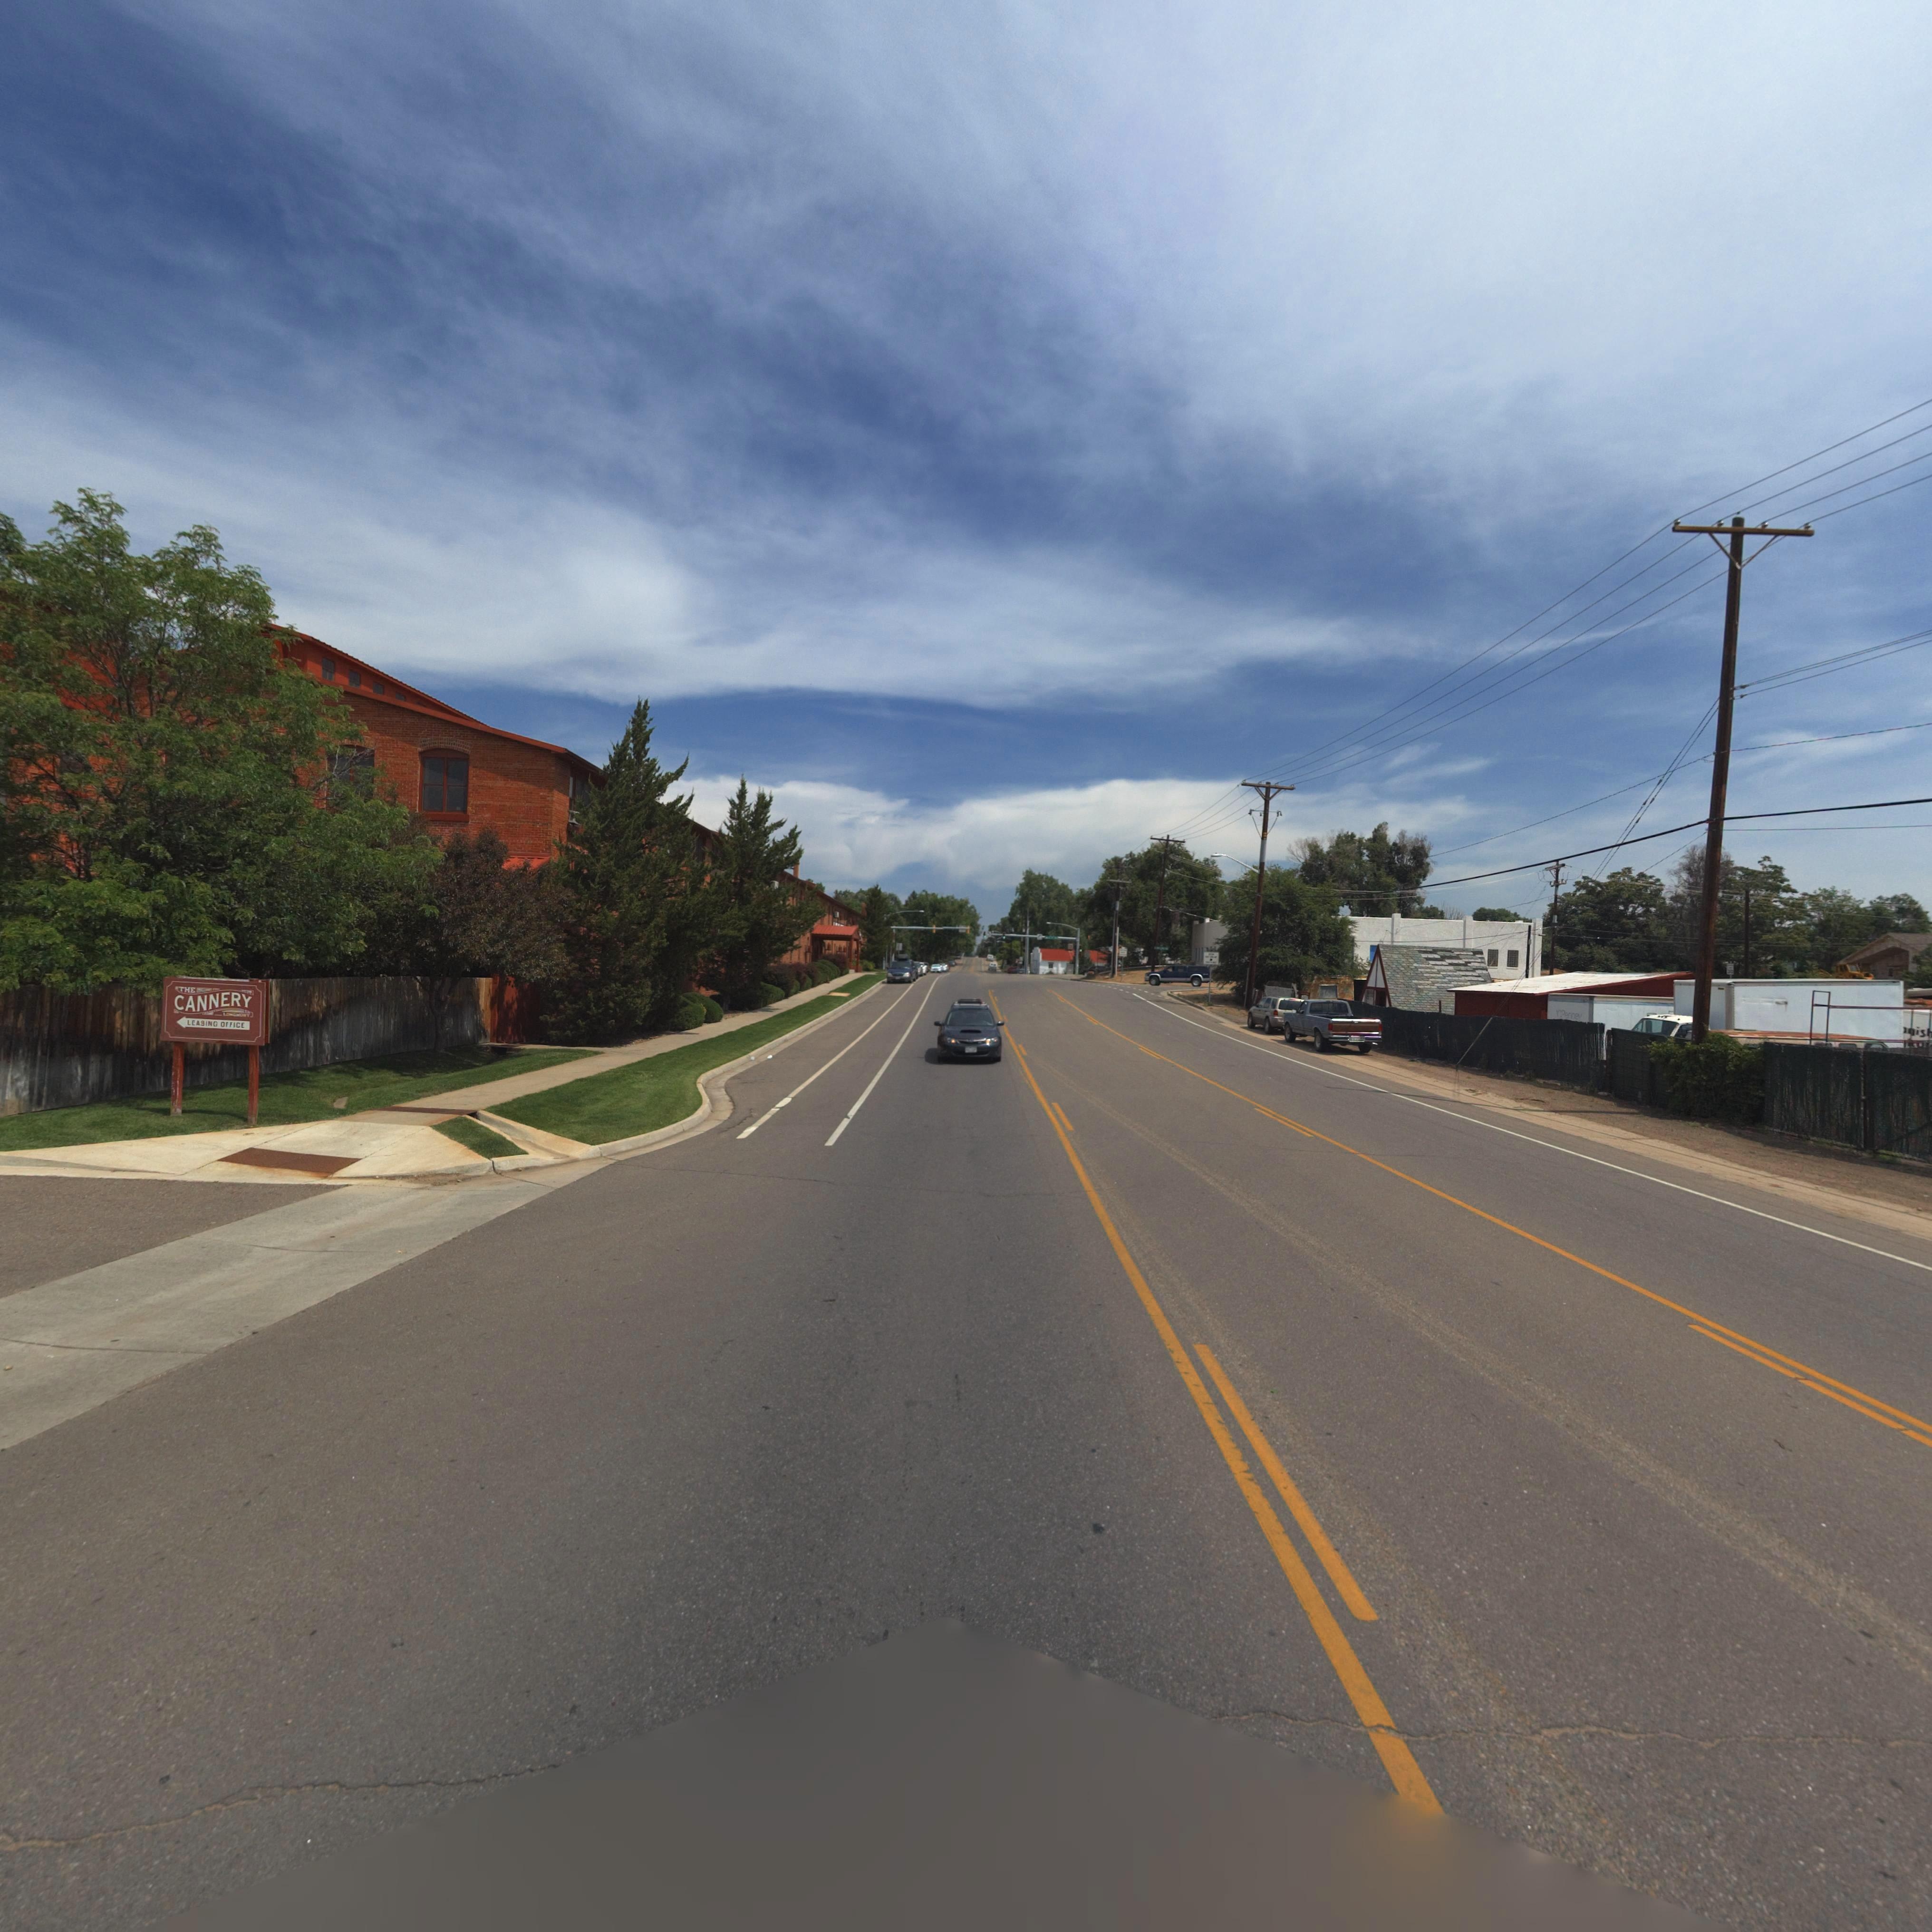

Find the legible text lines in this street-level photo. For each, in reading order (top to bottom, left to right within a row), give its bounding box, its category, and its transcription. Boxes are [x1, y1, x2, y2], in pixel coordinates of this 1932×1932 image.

[178, 985, 196, 993] BusinessName: THE
[174, 991, 252, 1012] BusinessName: CANNERY